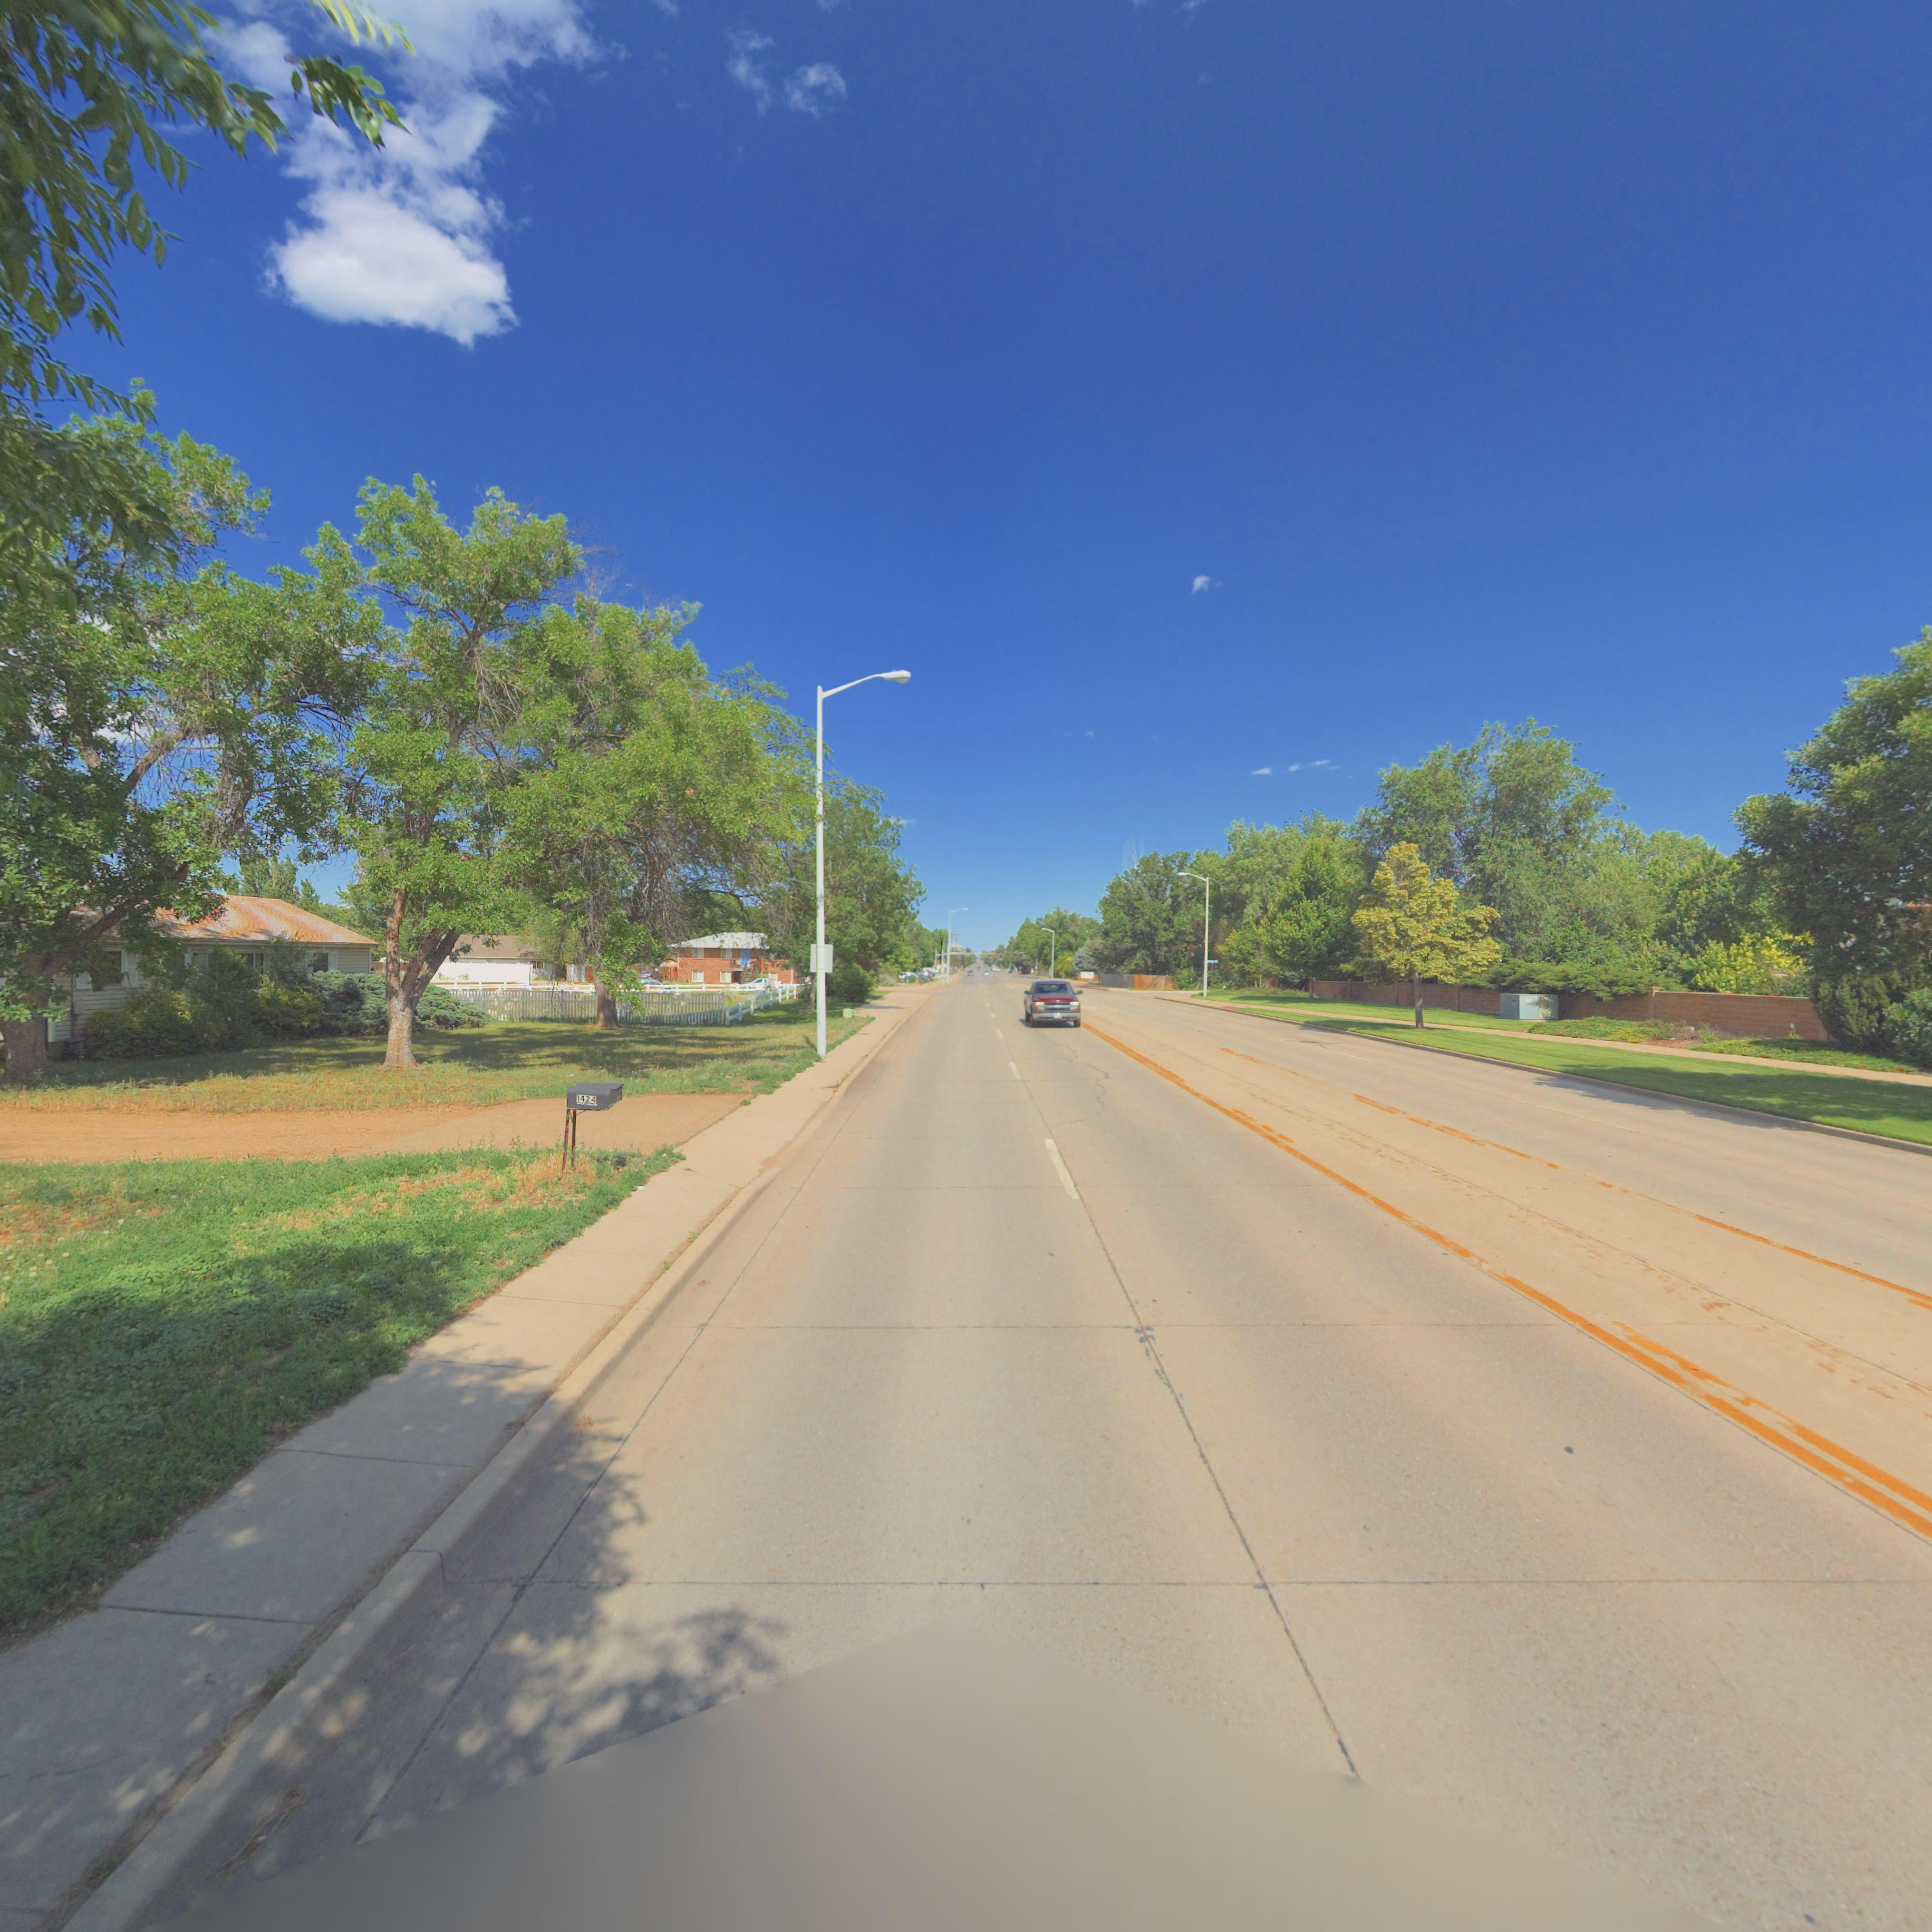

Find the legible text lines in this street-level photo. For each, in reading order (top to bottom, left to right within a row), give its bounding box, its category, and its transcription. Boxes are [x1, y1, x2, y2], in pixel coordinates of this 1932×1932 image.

[577, 1094, 595, 1103] StreetNumber: 1424